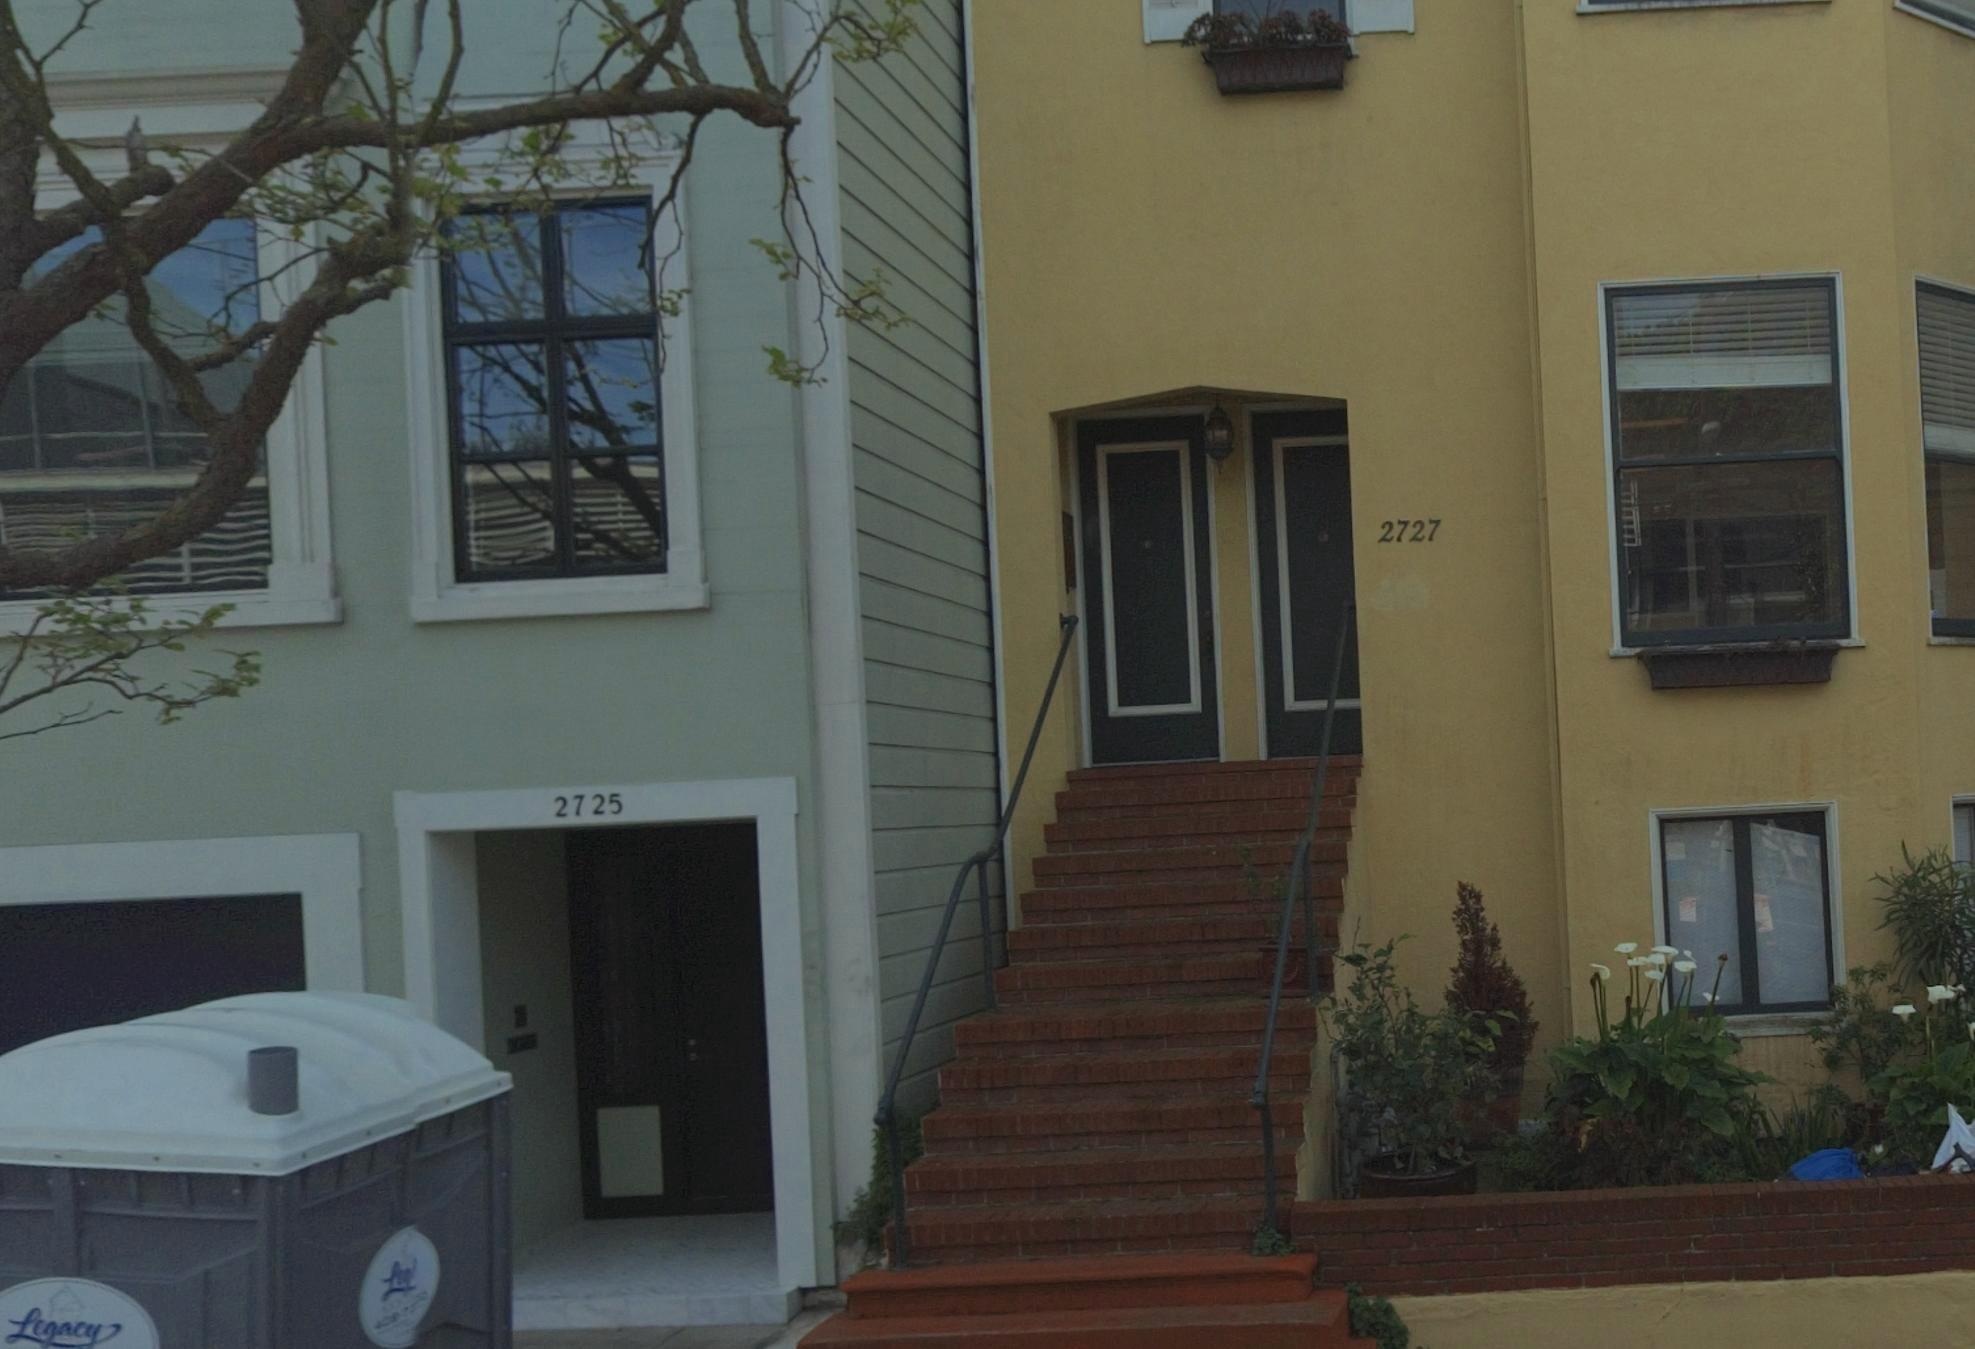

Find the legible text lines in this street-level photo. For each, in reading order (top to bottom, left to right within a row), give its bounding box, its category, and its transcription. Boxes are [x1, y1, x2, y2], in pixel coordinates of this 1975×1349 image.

[1374, 516, 1446, 546] StreetNumber: 2727
[552, 790, 626, 820] StreetNumber: 2725
[2, 1301, 108, 1348] None: Legacy